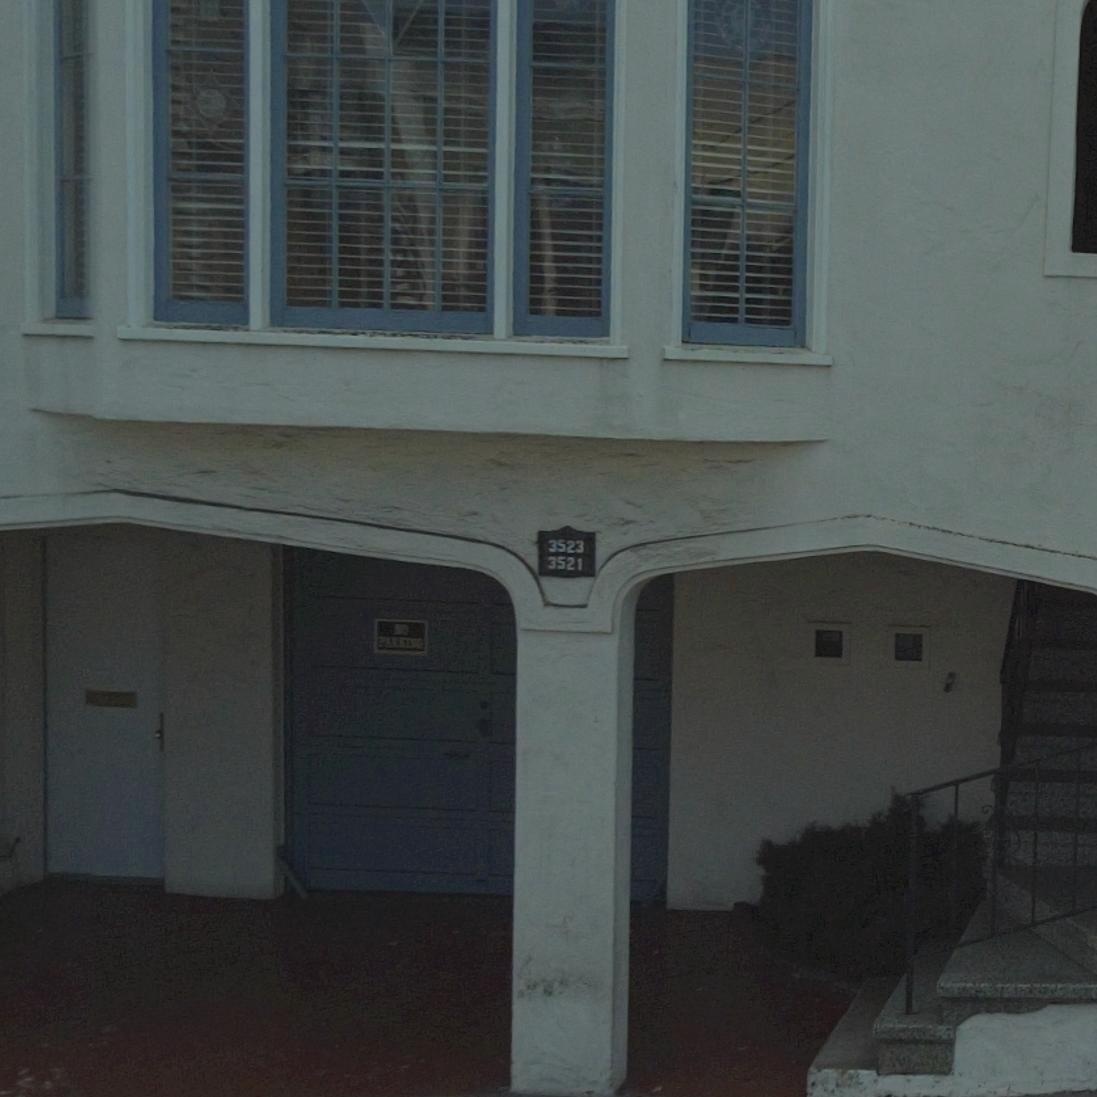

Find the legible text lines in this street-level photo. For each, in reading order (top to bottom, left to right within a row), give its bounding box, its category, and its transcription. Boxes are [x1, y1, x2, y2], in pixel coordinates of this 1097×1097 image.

[547, 539, 585, 554] StreetNumber: 3523
[547, 555, 583, 572] StreetNumber: 3521
[393, 623, 409, 635] None: NO
[378, 636, 423, 648] None: PARKING